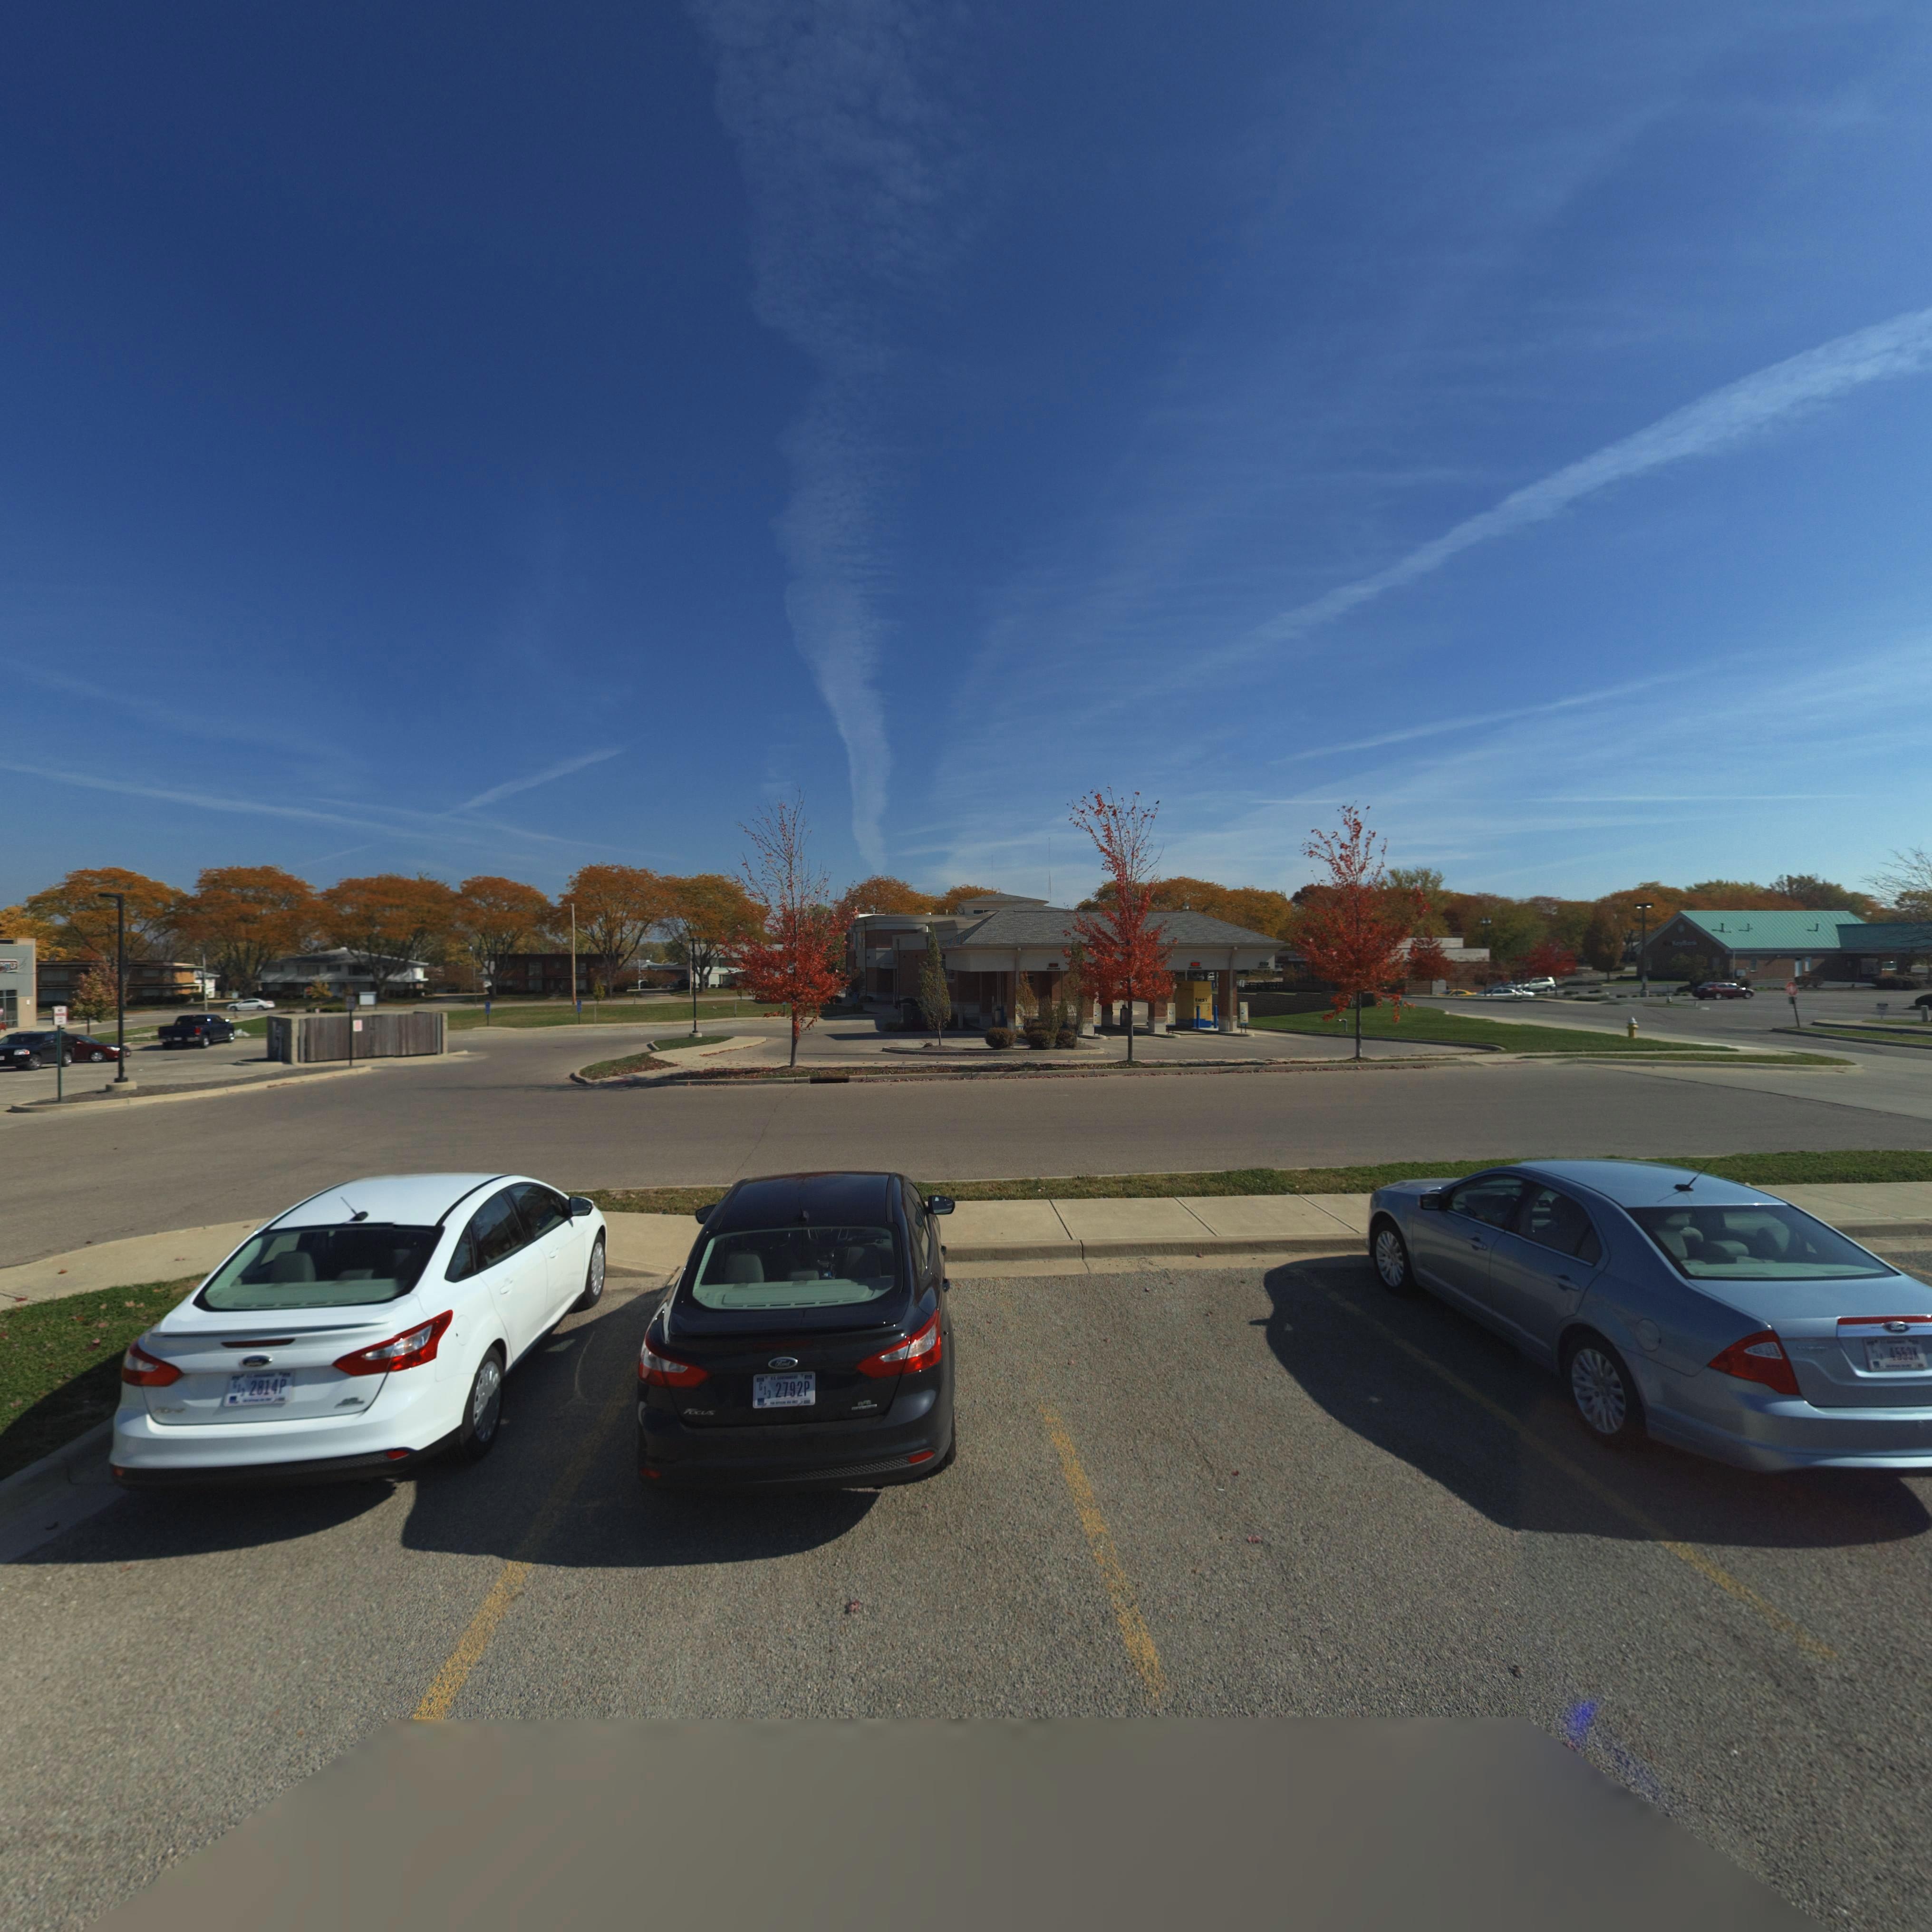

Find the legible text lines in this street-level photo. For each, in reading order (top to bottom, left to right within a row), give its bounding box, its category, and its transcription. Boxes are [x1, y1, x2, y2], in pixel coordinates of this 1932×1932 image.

[1194, 997, 1208, 1003] BusinessName: ***ST